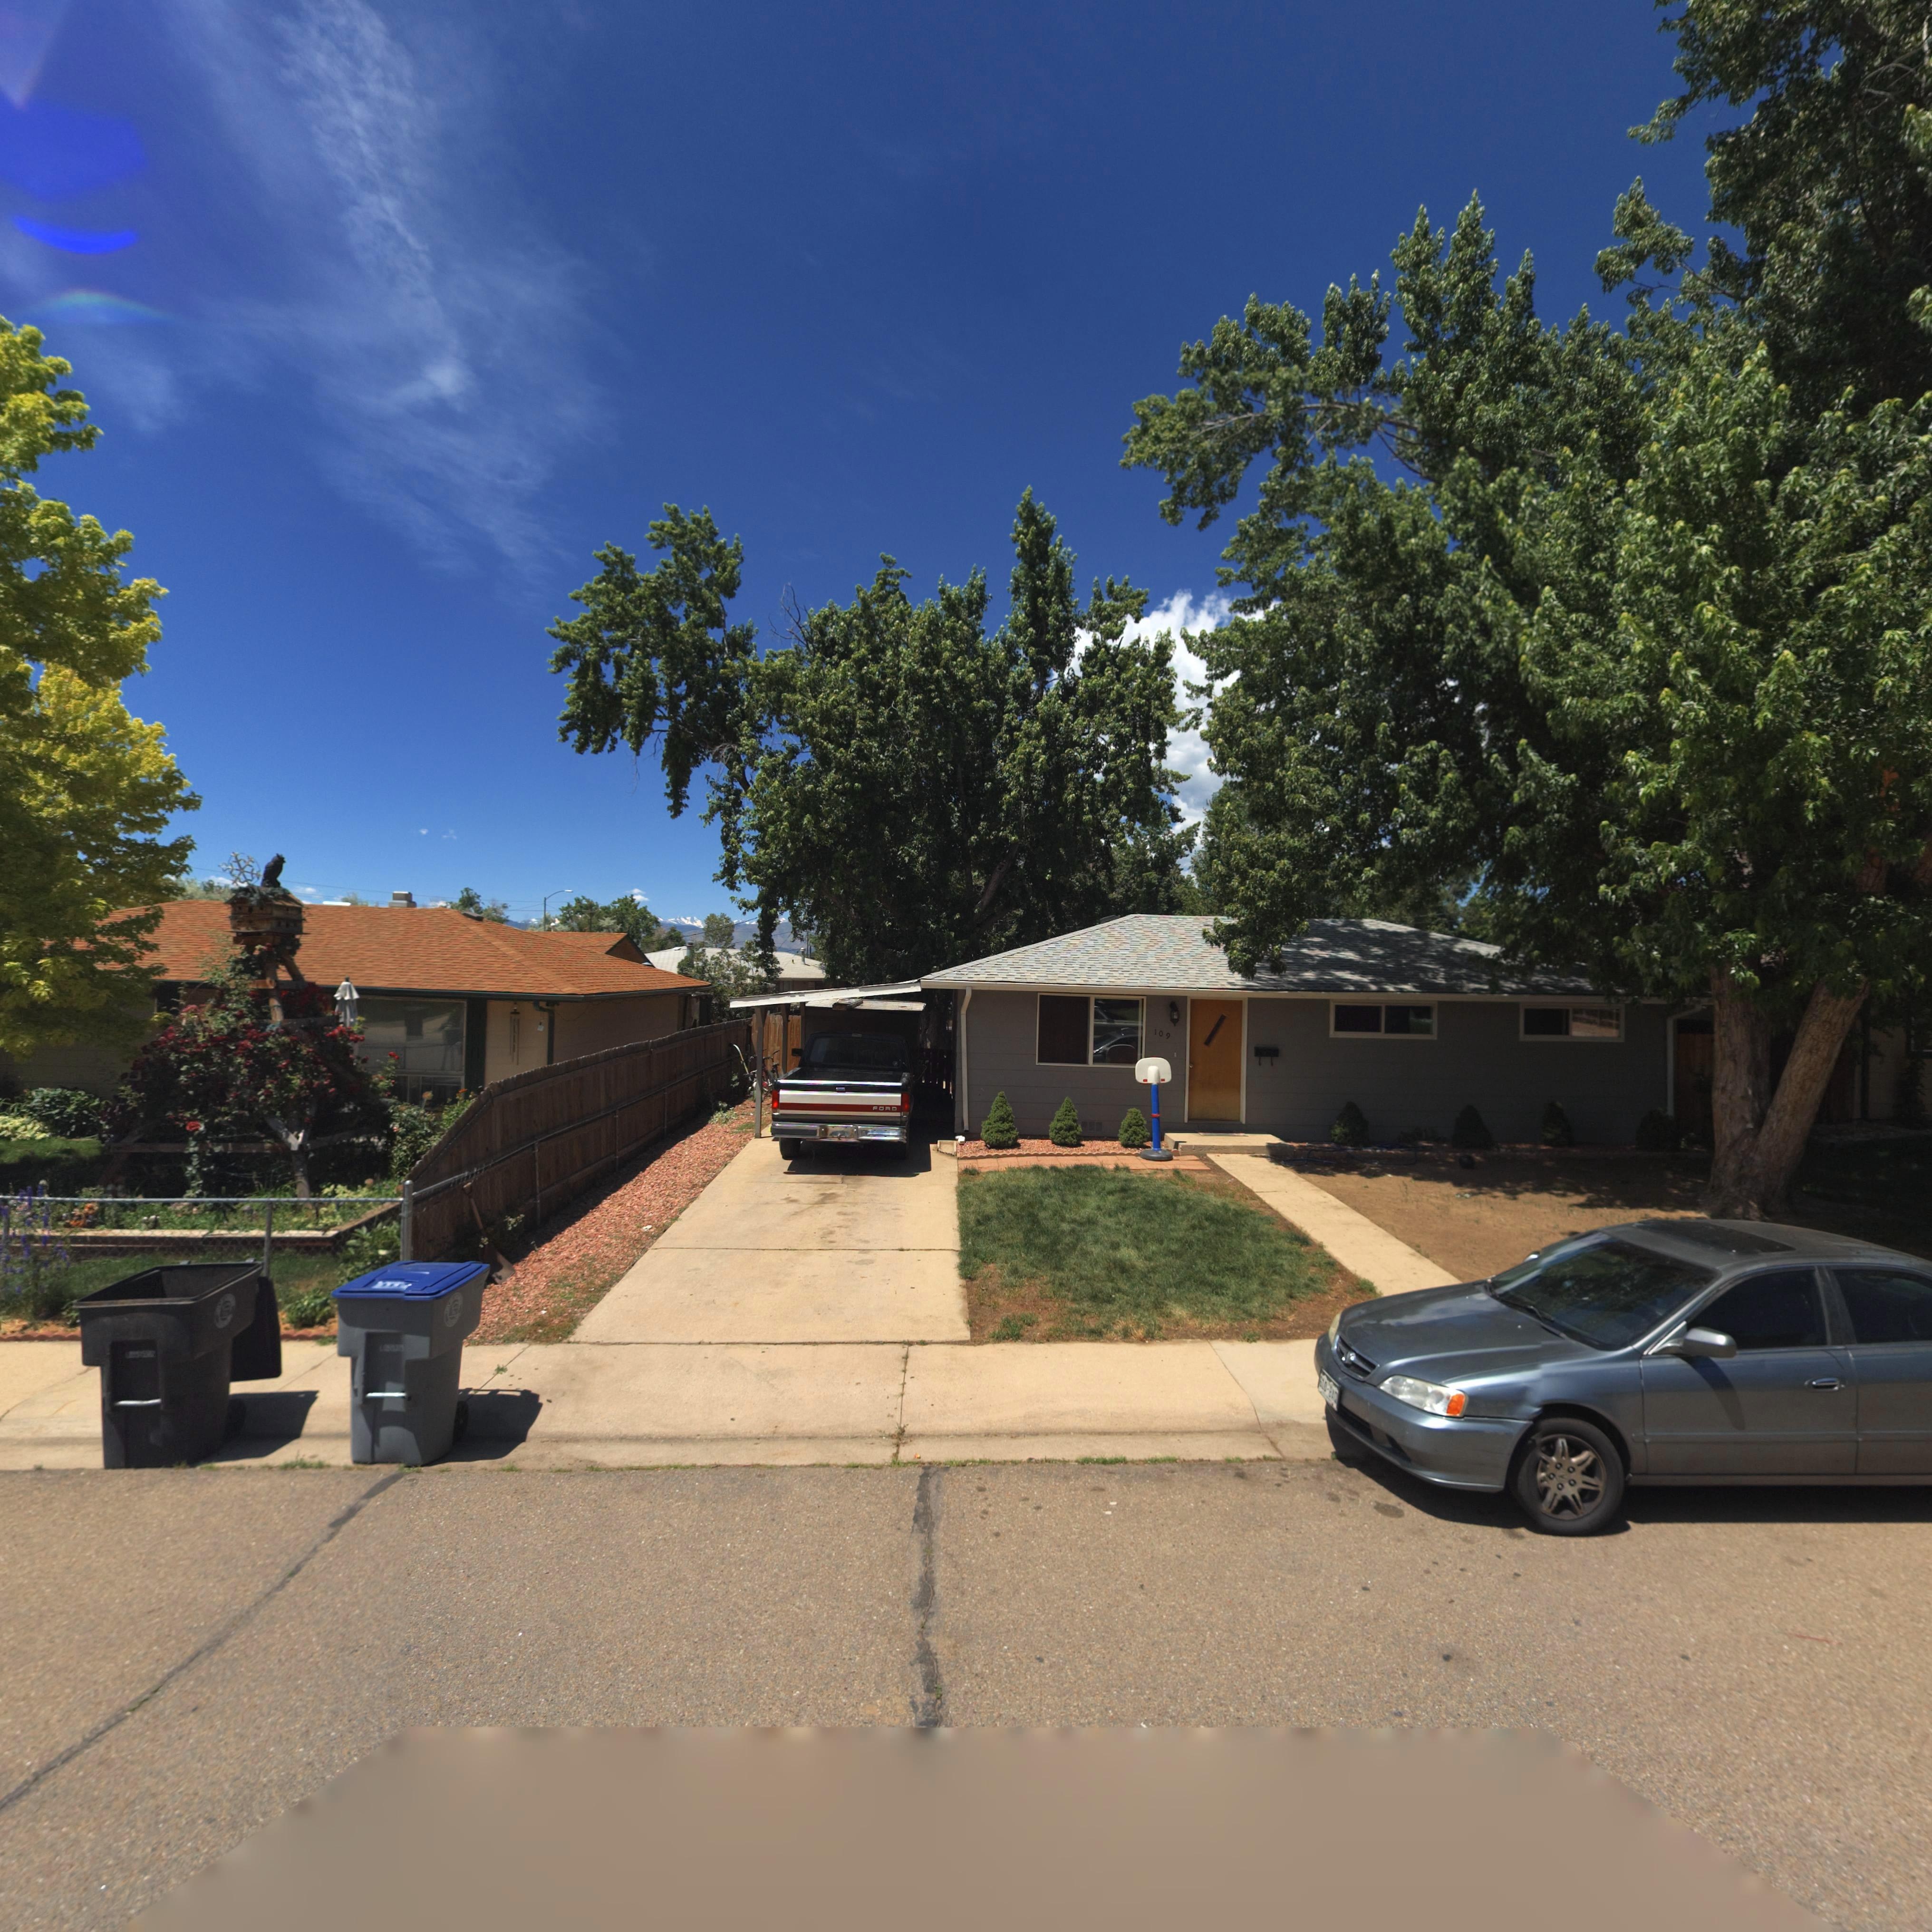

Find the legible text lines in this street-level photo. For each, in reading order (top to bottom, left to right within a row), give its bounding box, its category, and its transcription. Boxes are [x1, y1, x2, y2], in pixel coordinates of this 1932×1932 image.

[1154, 1028, 1170, 1039] StreetNumber: 109